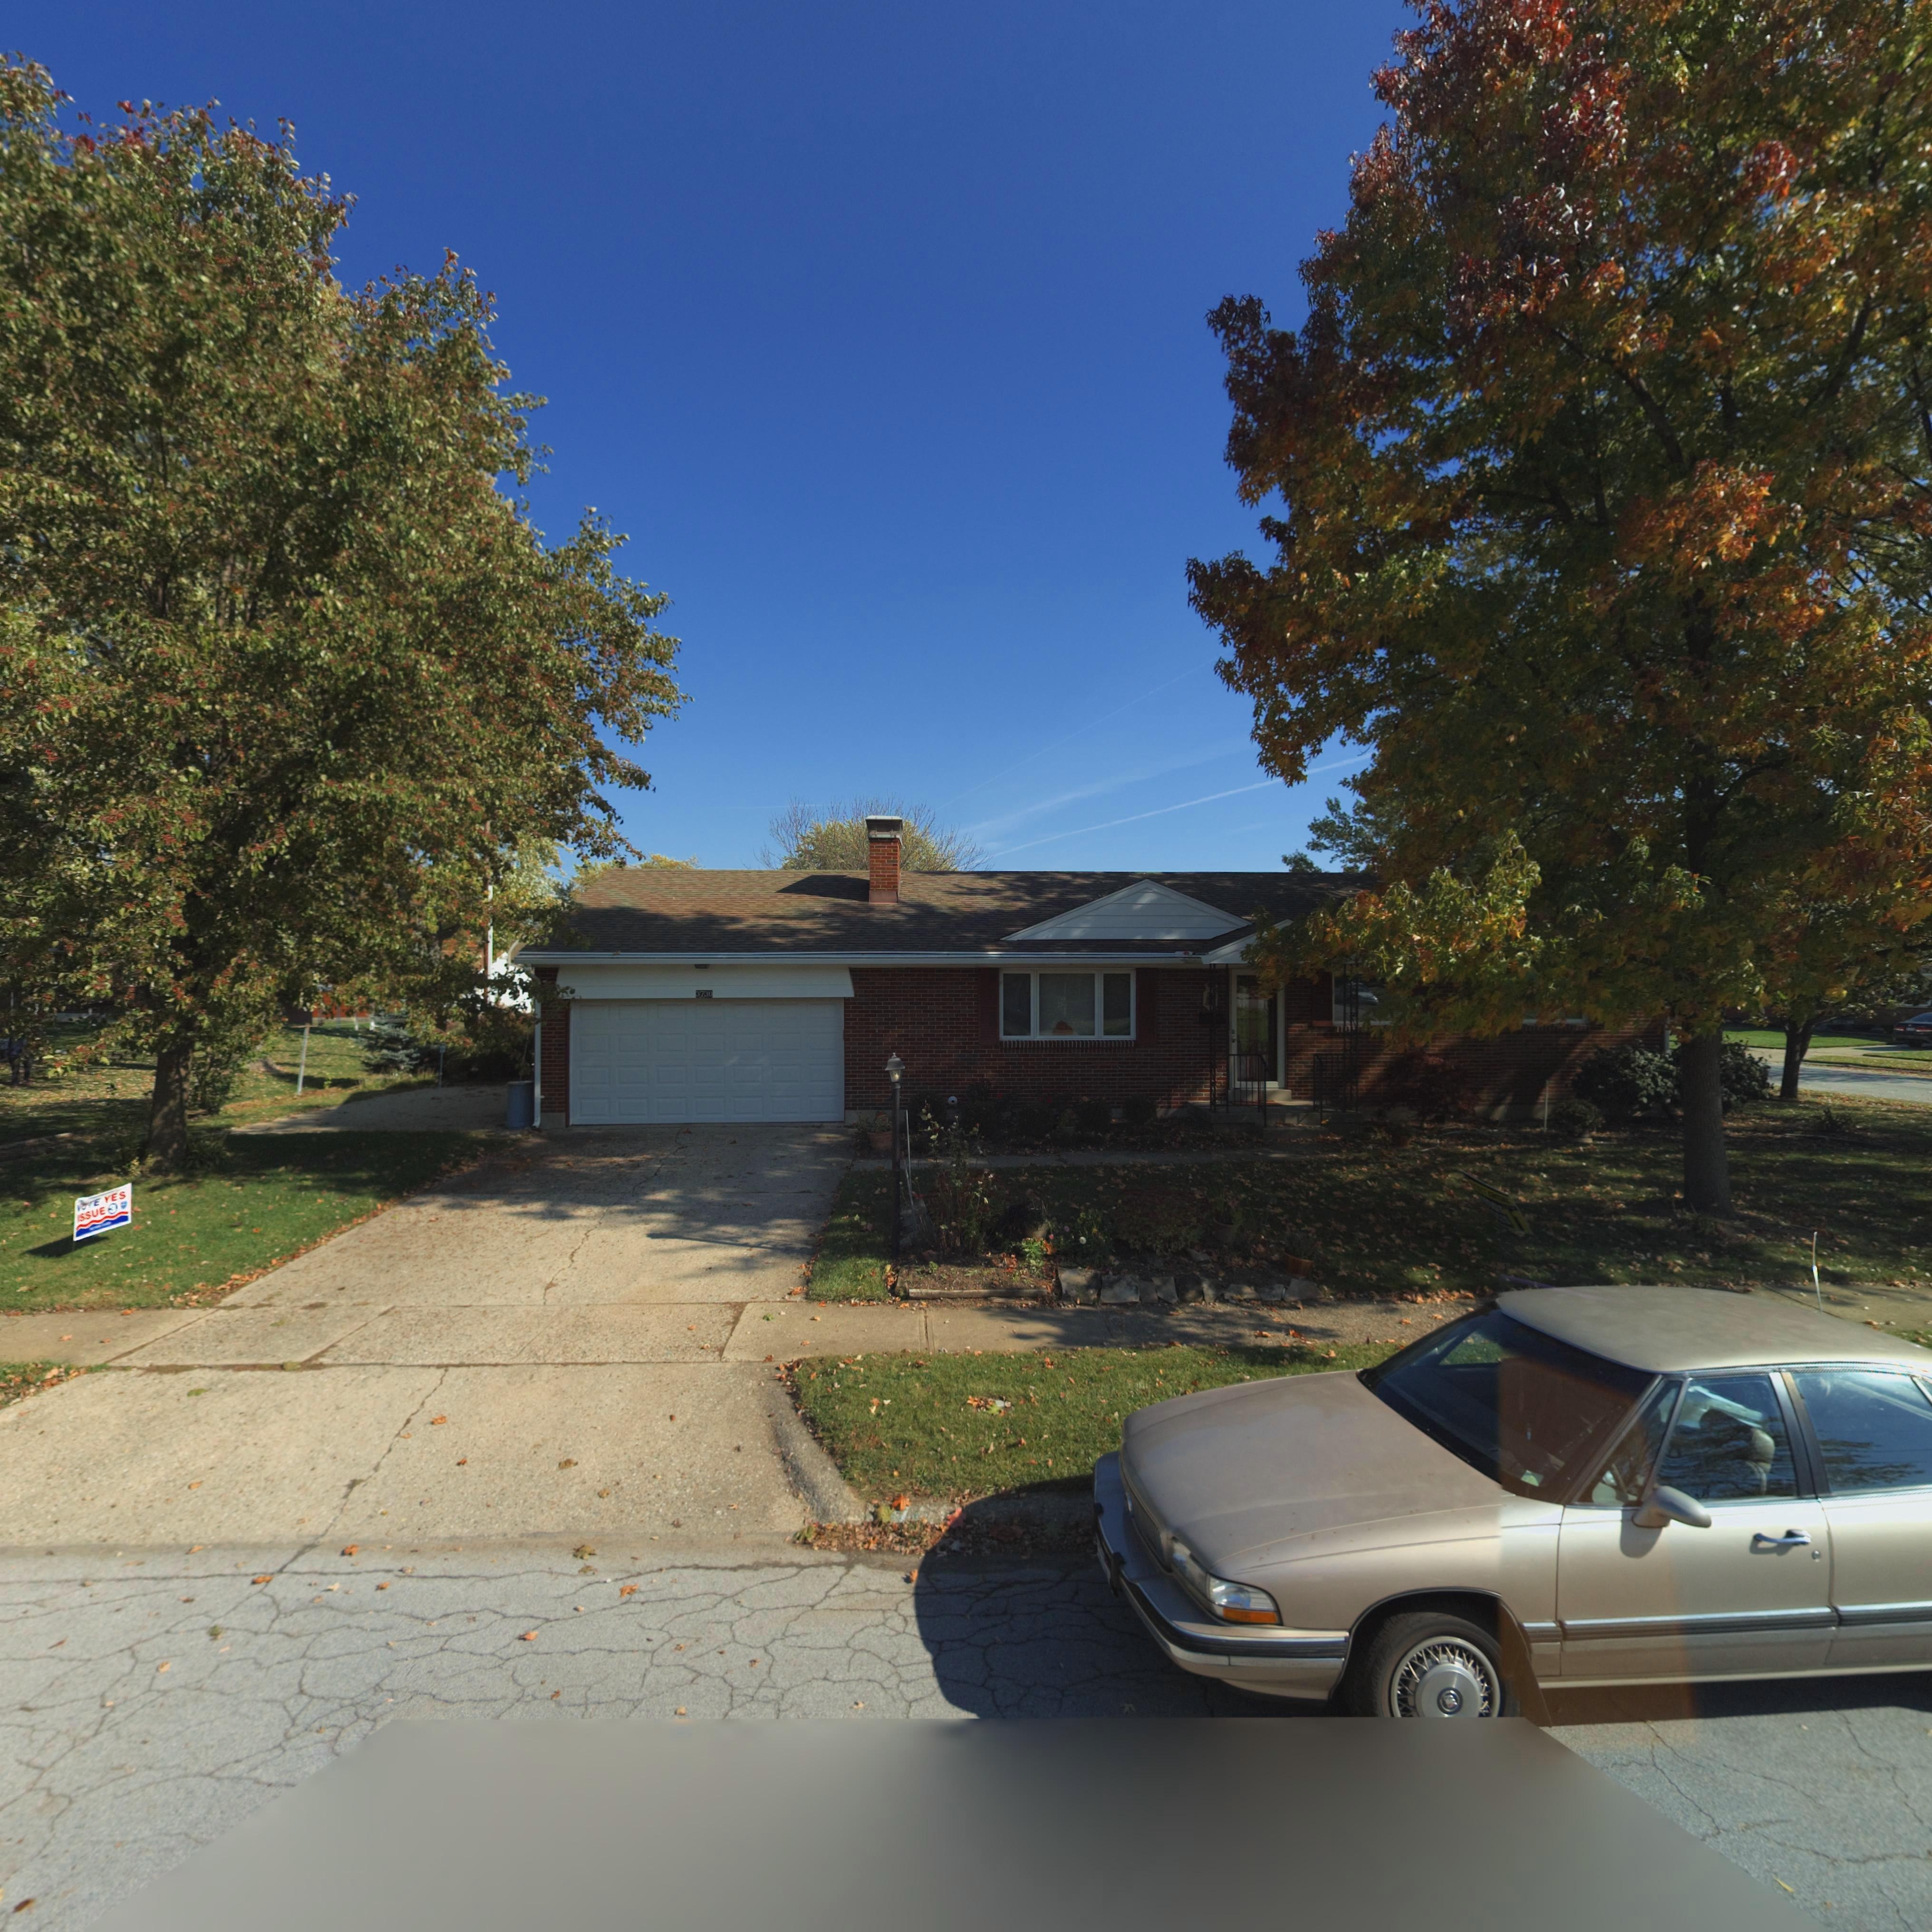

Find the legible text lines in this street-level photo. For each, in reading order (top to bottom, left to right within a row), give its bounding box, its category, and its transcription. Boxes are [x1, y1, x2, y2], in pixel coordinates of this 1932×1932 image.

[696, 990, 713, 997] StreetNumber: 3730
[93, 1190, 126, 1207] None: E YES
[77, 1206, 106, 1224] None: ISSUE
[109, 1204, 117, 1214] None: 3